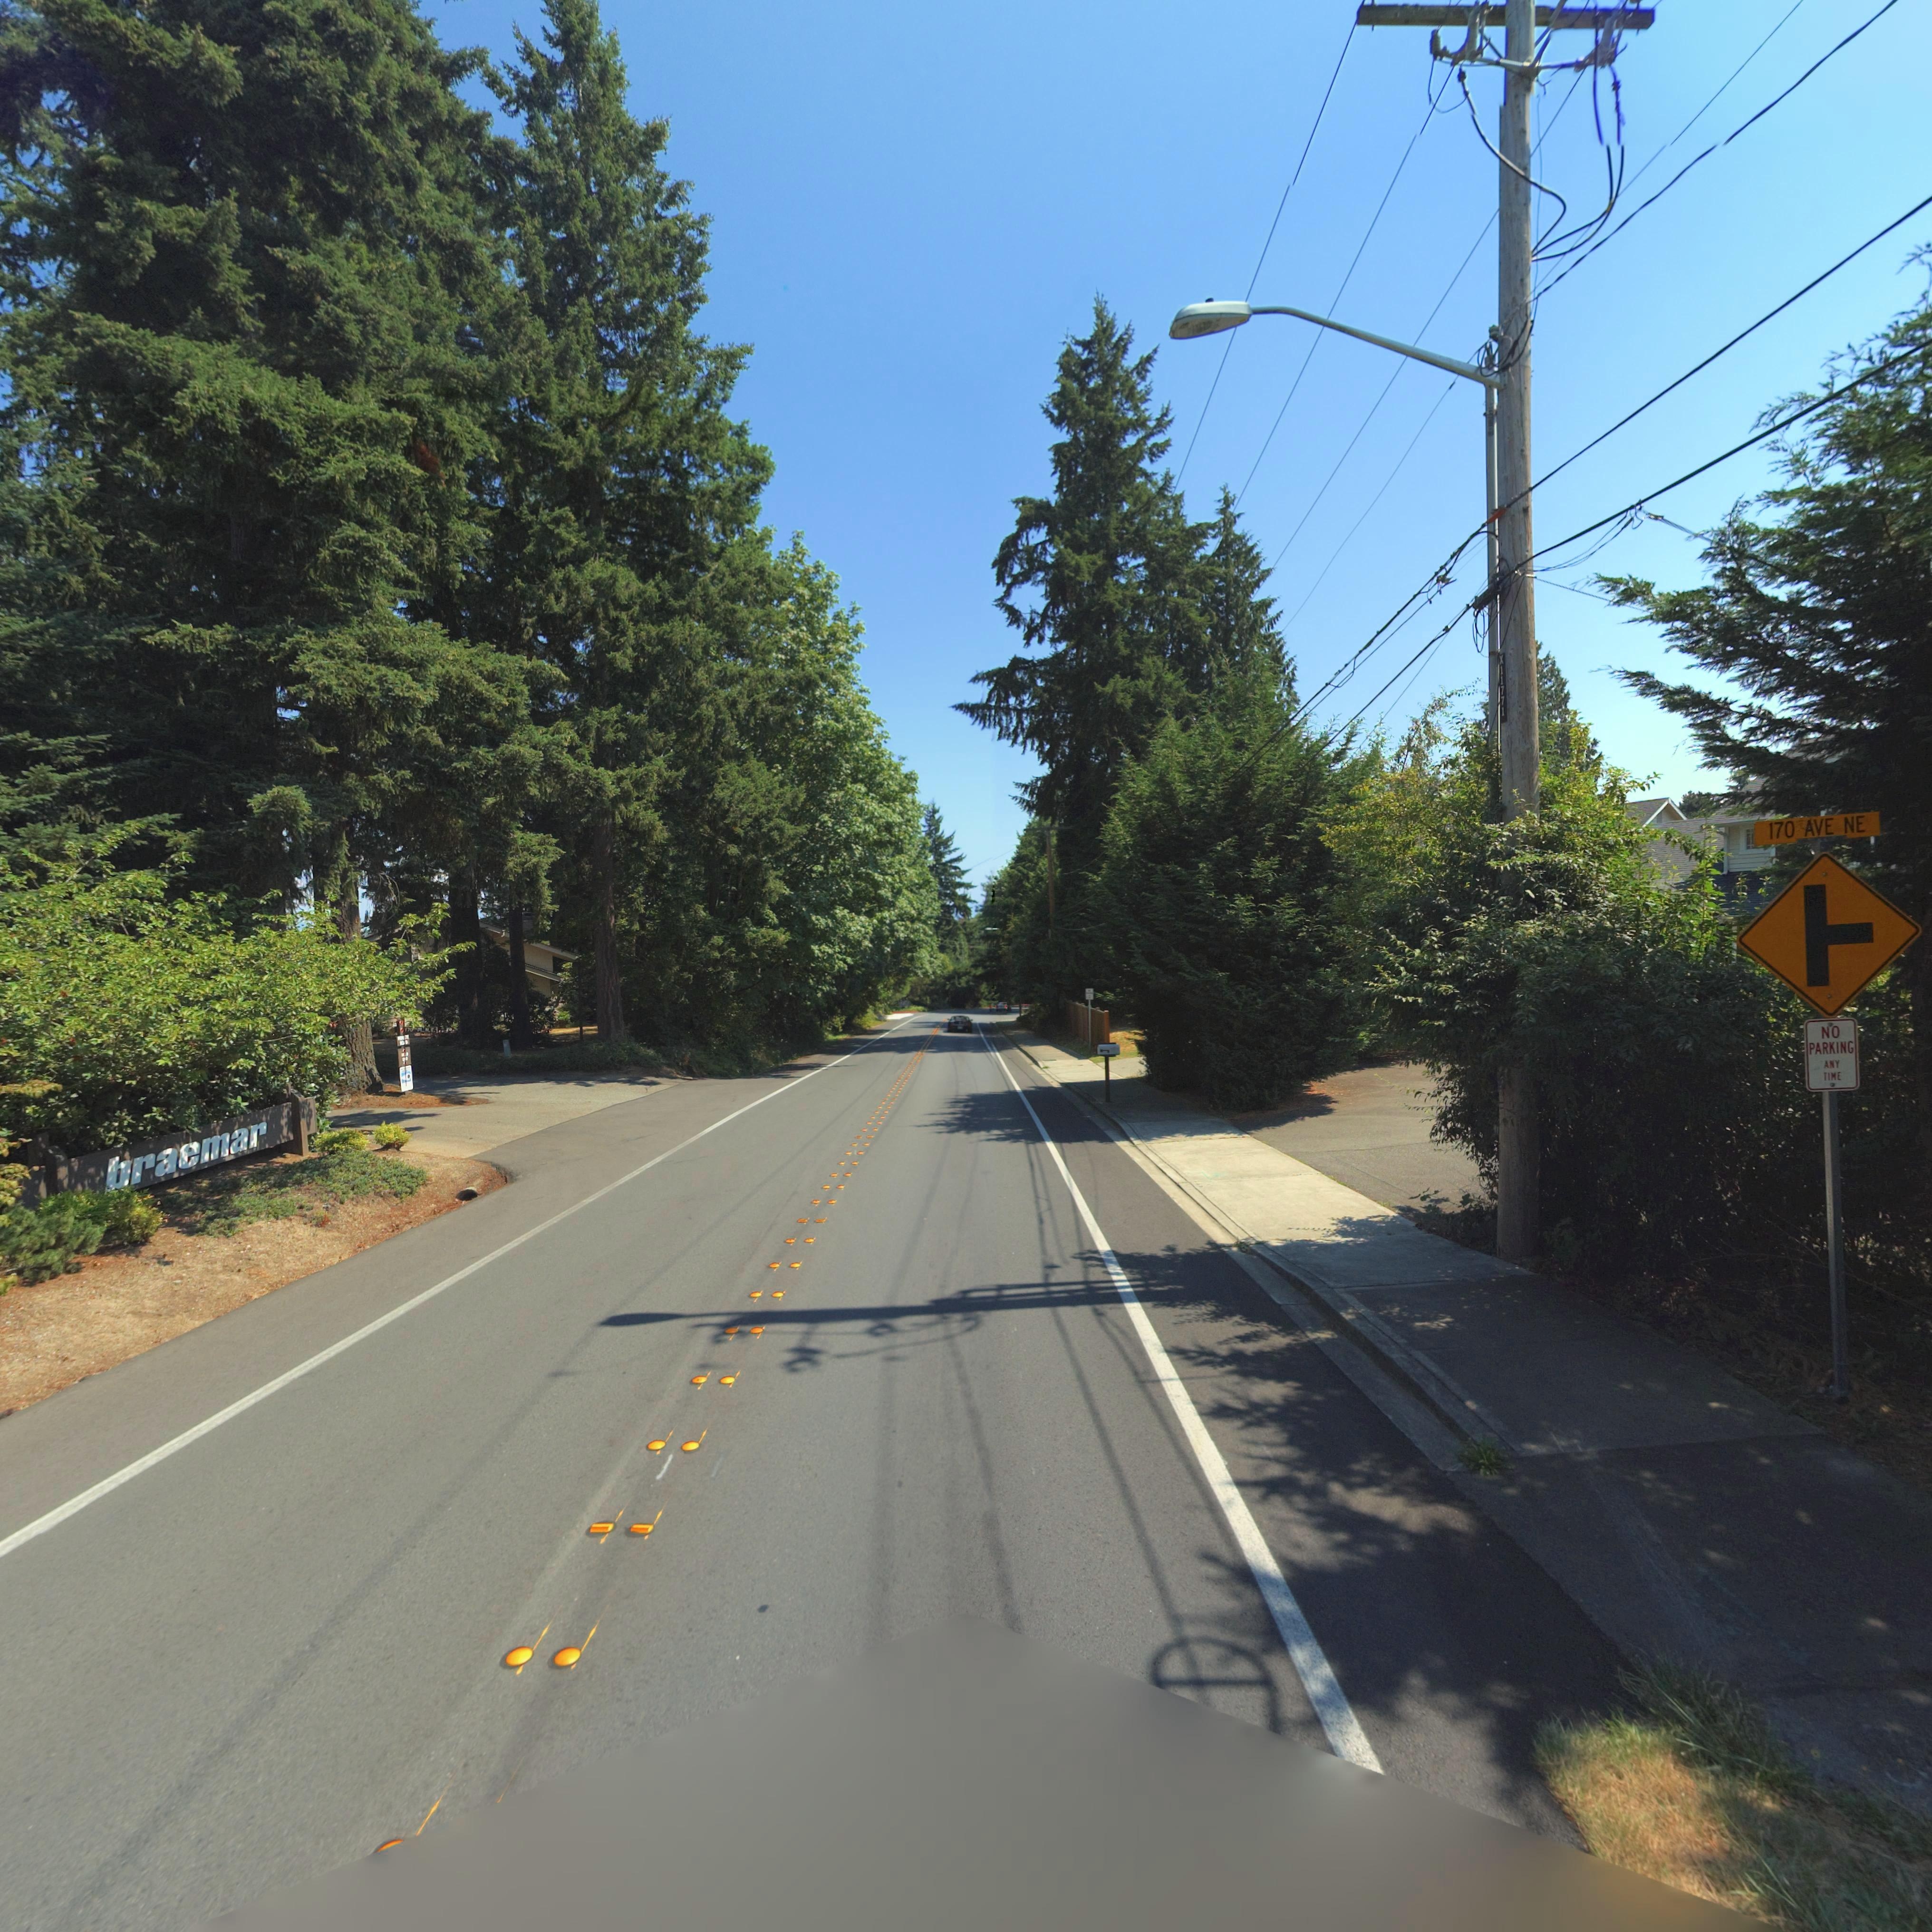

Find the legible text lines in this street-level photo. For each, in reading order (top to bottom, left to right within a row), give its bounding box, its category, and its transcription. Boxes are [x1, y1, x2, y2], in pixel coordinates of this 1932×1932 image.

[1754, 809, 1884, 849] StreetName: 170